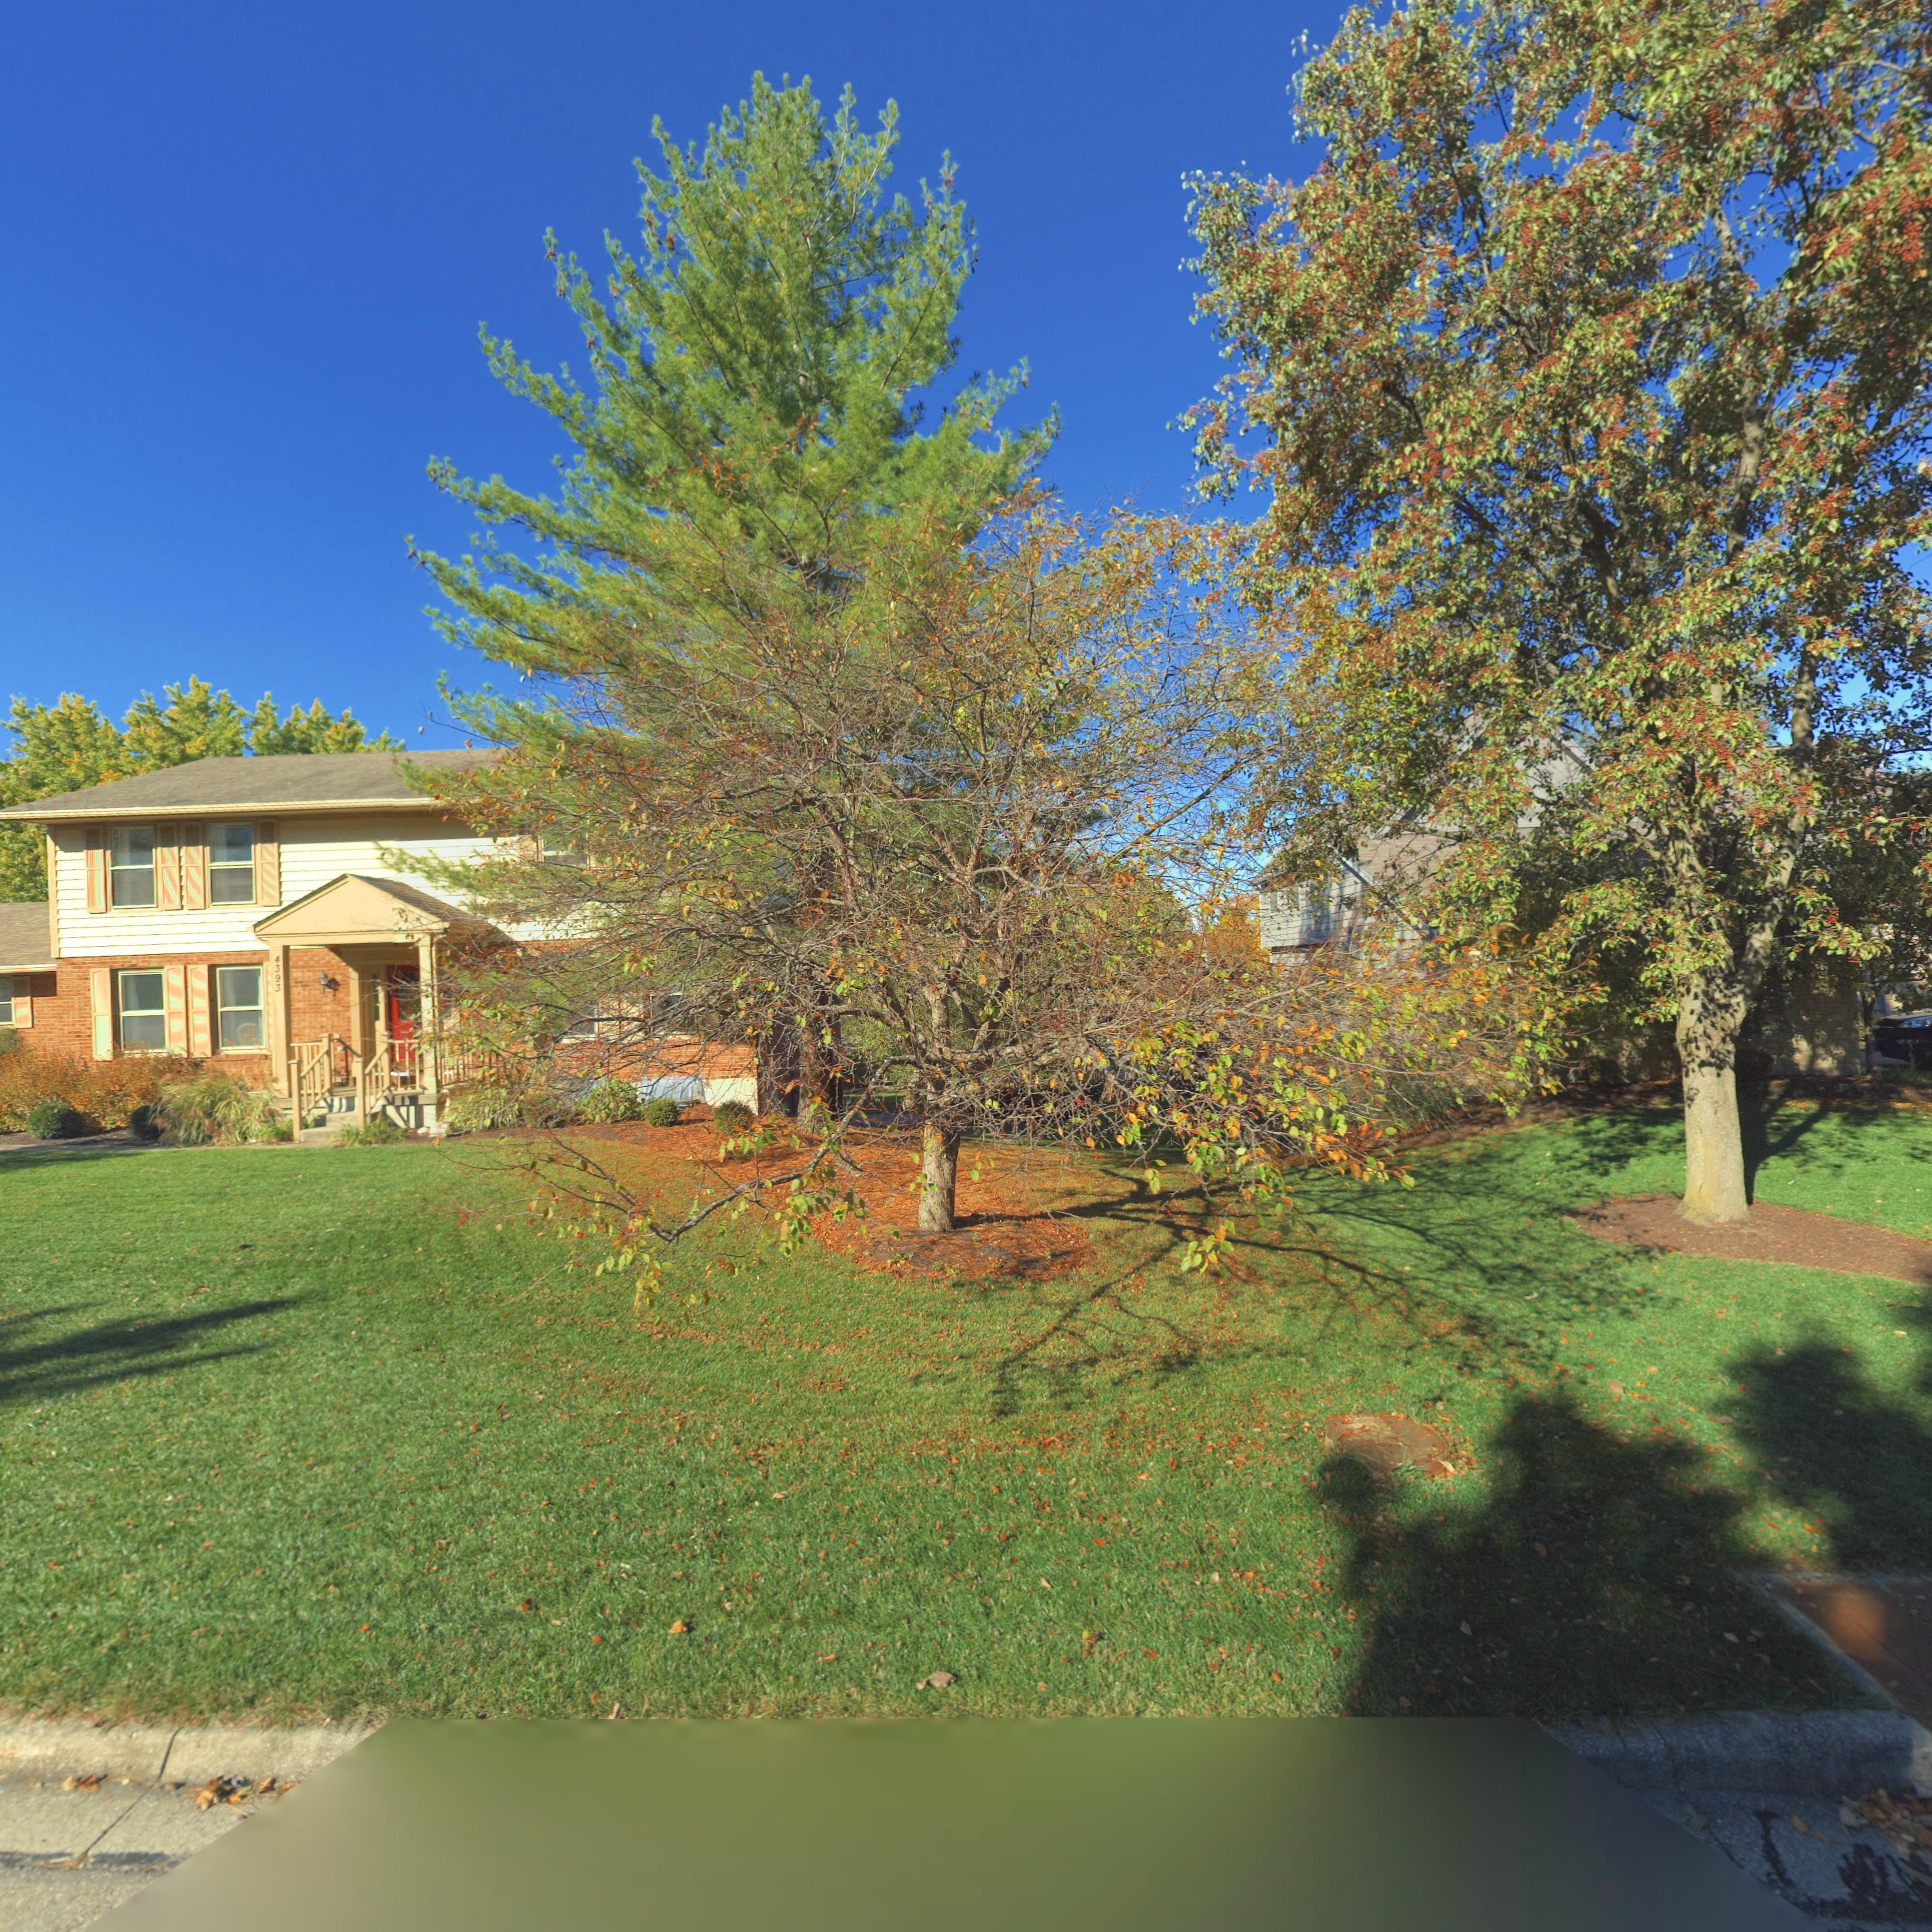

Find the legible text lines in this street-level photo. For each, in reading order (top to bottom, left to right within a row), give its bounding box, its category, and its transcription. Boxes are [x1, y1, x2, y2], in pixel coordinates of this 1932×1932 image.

[273, 955, 281, 993] StreetNumber: 4393